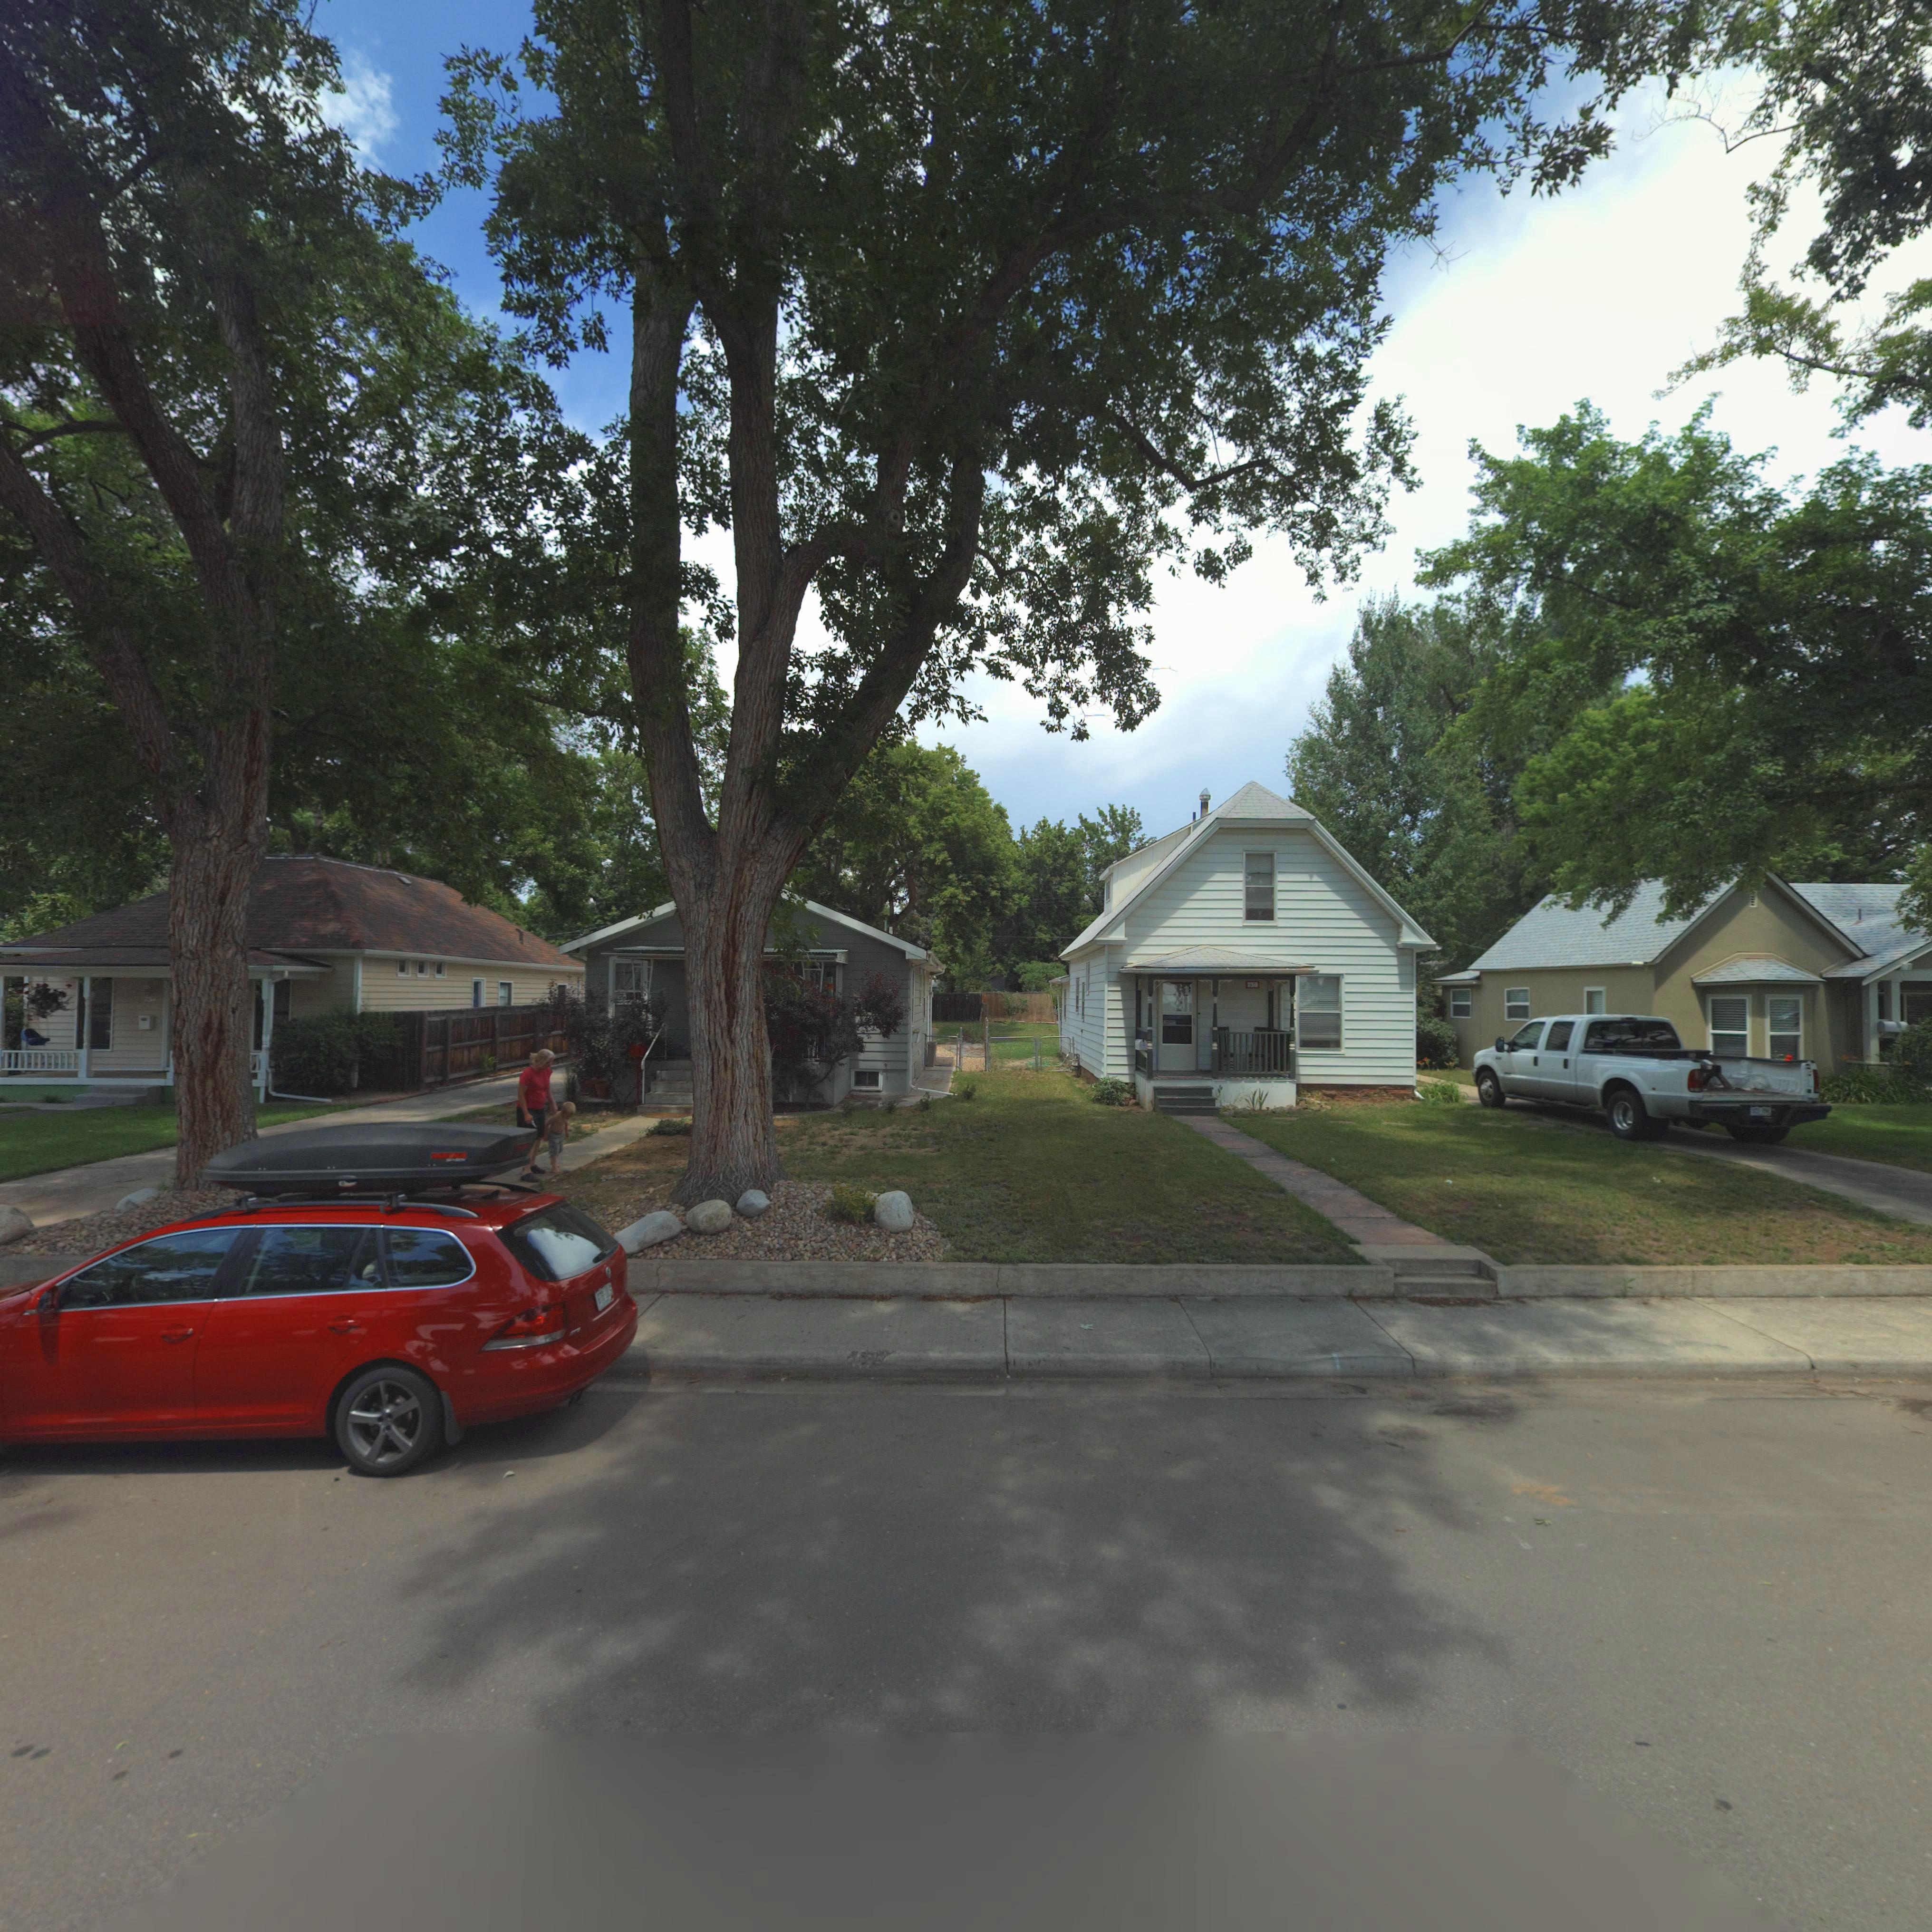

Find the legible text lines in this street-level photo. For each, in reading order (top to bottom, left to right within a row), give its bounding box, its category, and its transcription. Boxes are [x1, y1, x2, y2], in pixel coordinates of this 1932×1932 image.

[1247, 982, 1257, 987] StreetNumber: 730
[143, 995, 156, 1002] StreetNumber: *34